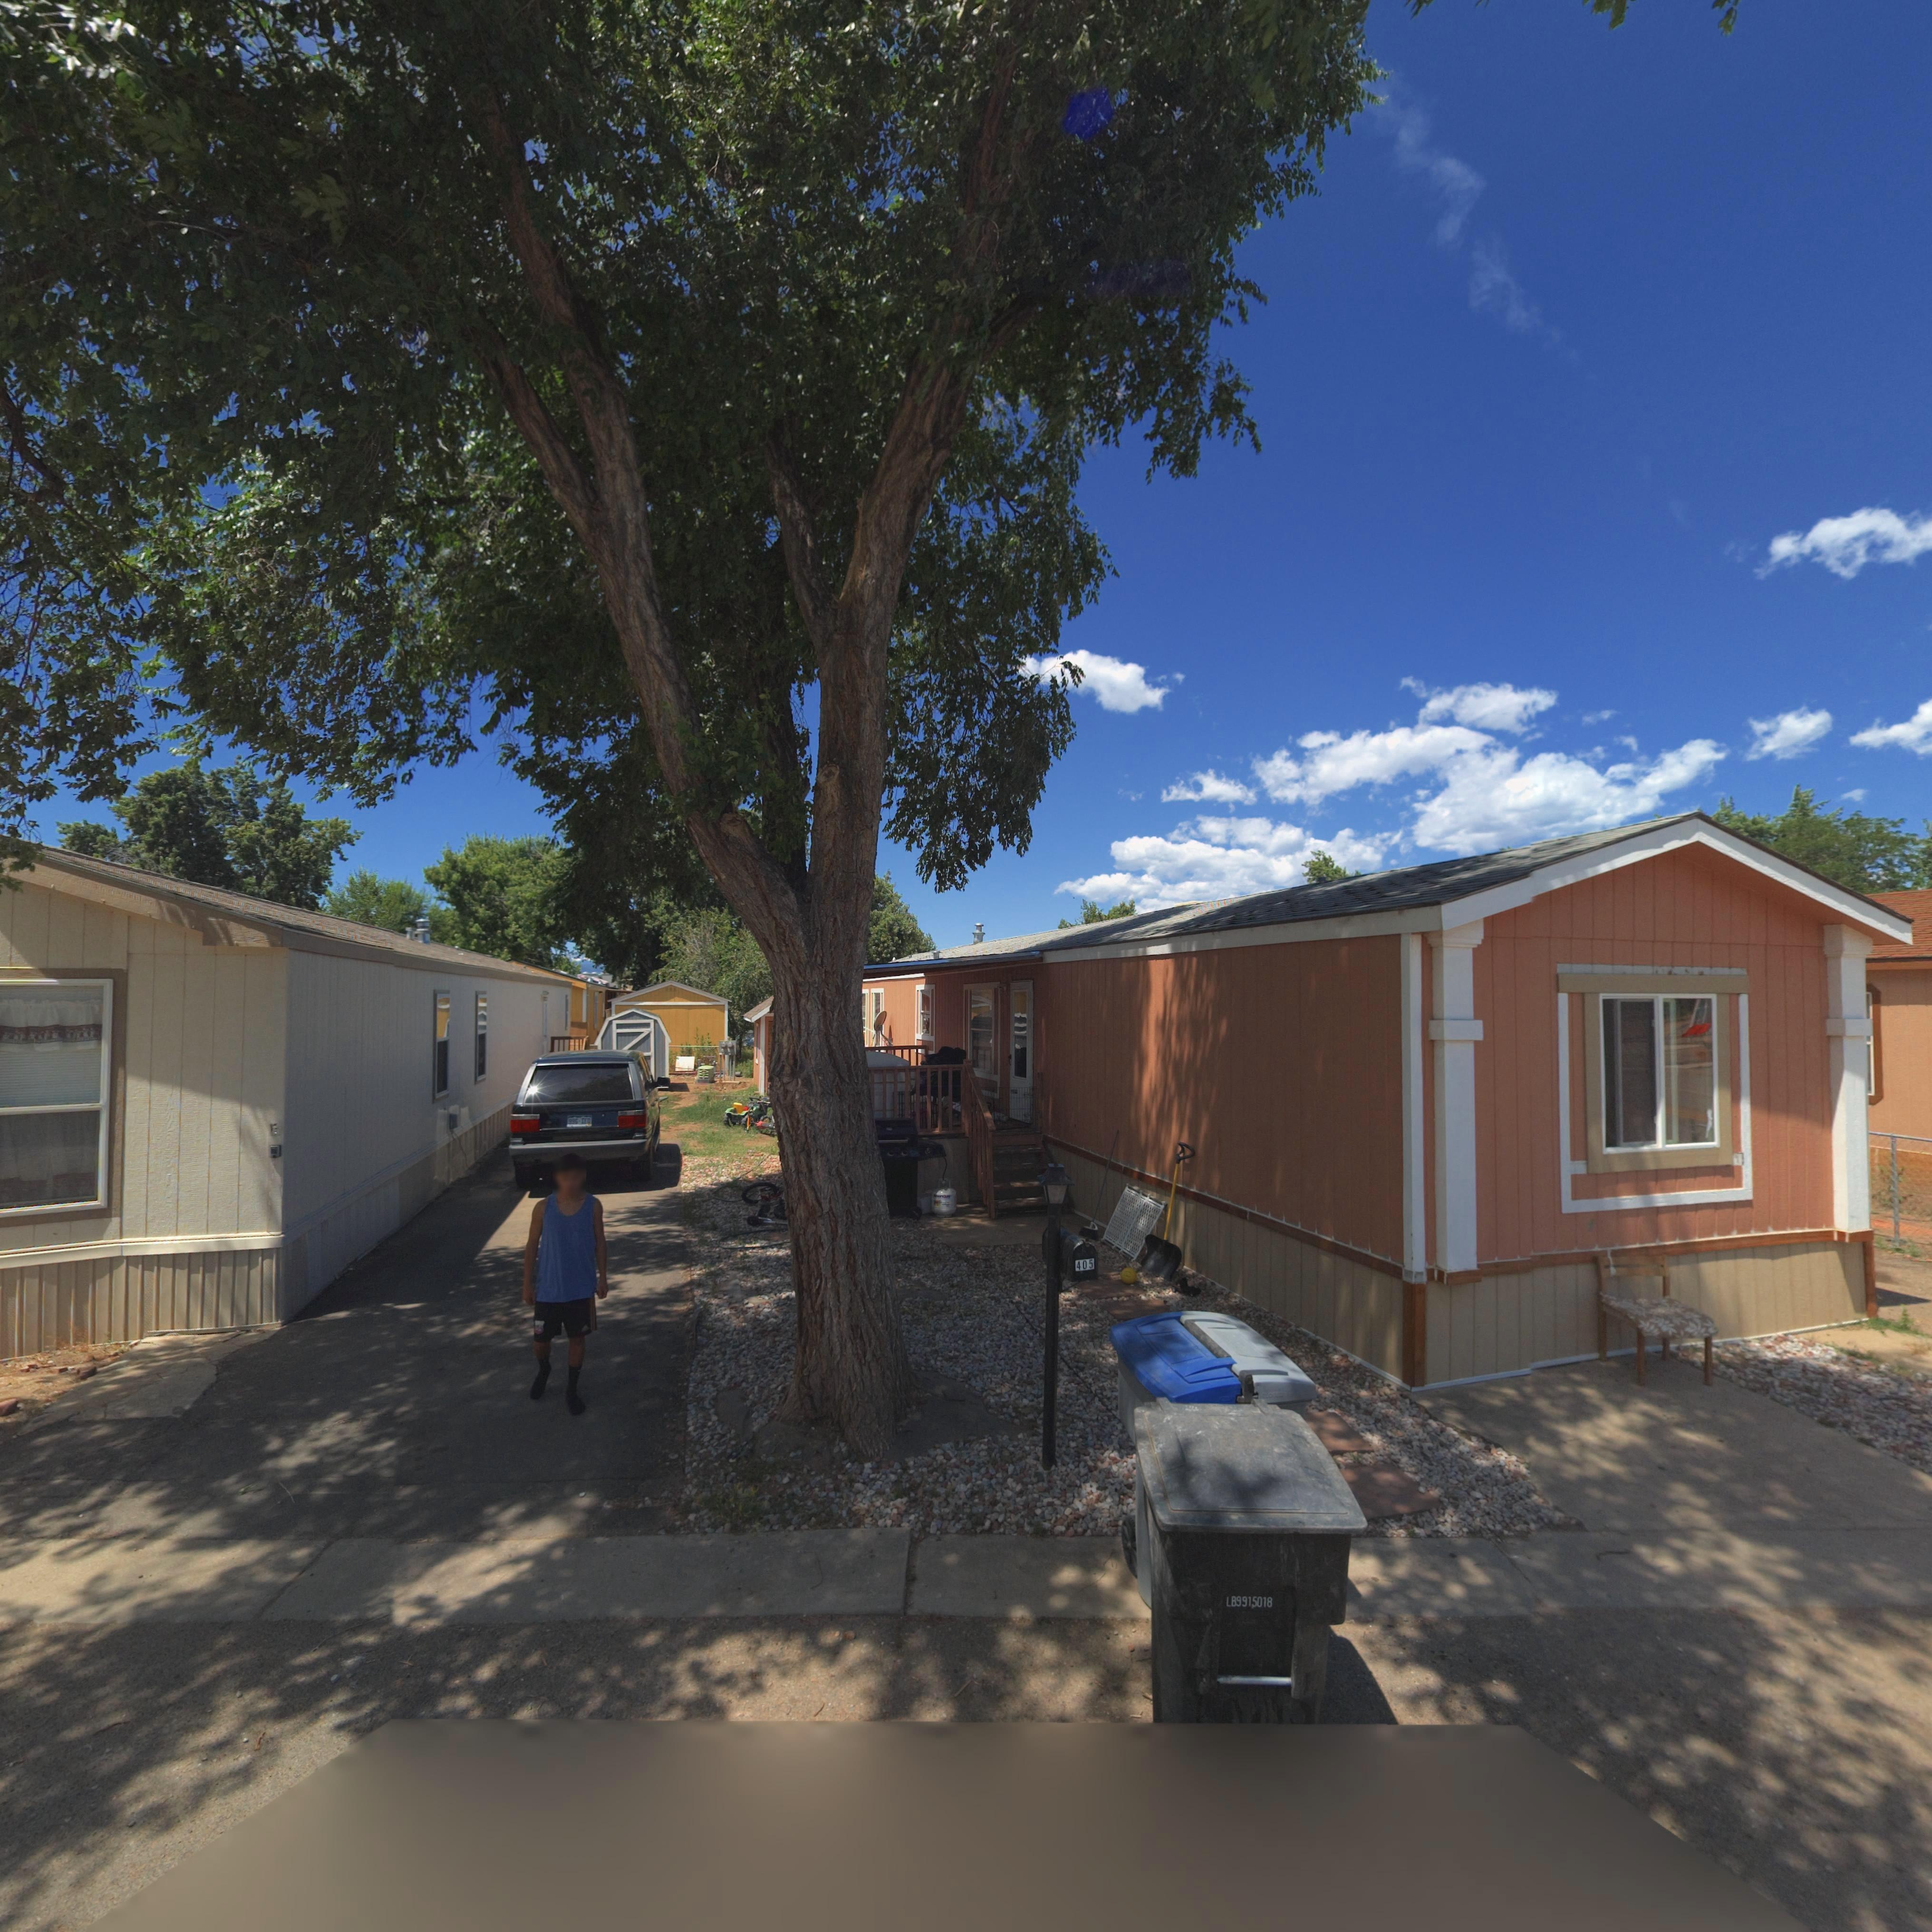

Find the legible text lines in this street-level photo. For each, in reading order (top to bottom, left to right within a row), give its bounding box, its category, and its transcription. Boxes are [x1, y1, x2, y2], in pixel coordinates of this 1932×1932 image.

[1075, 1258, 1094, 1270] StreetNumber: 405